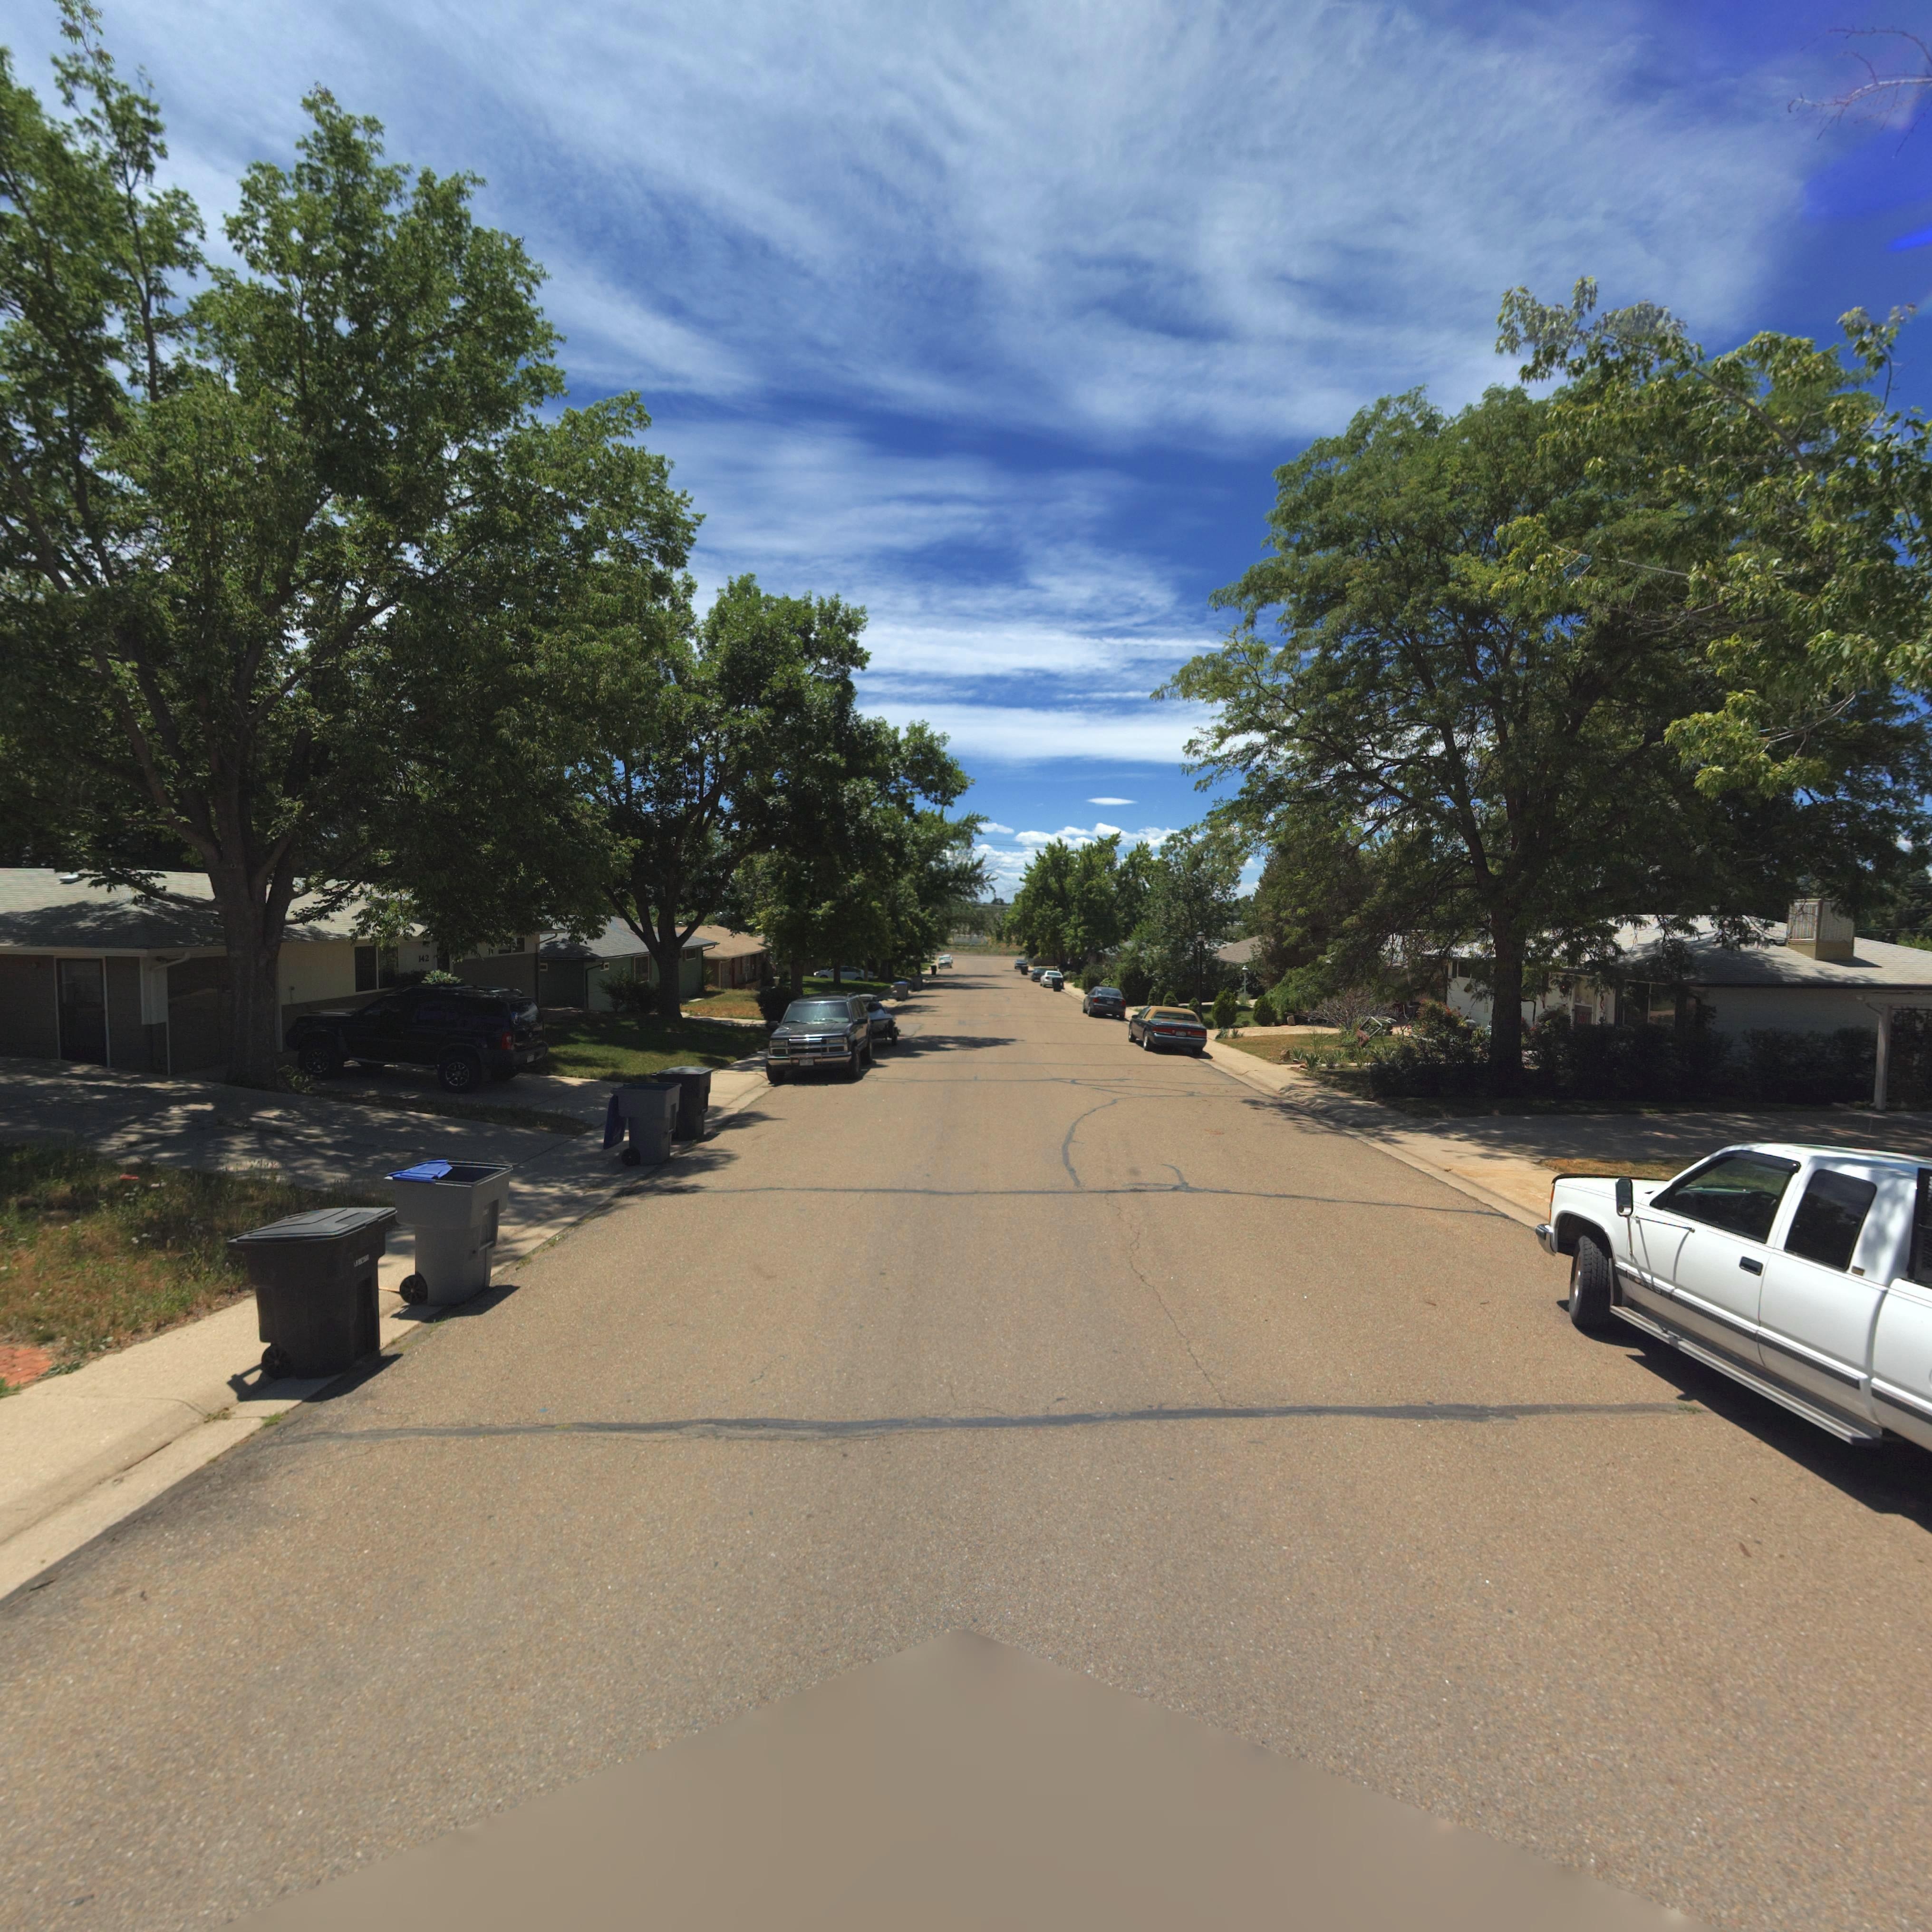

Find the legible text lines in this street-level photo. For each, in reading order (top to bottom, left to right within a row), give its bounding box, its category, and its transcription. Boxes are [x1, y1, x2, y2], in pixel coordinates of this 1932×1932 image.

[418, 954, 429, 962] StreetNumber: 142